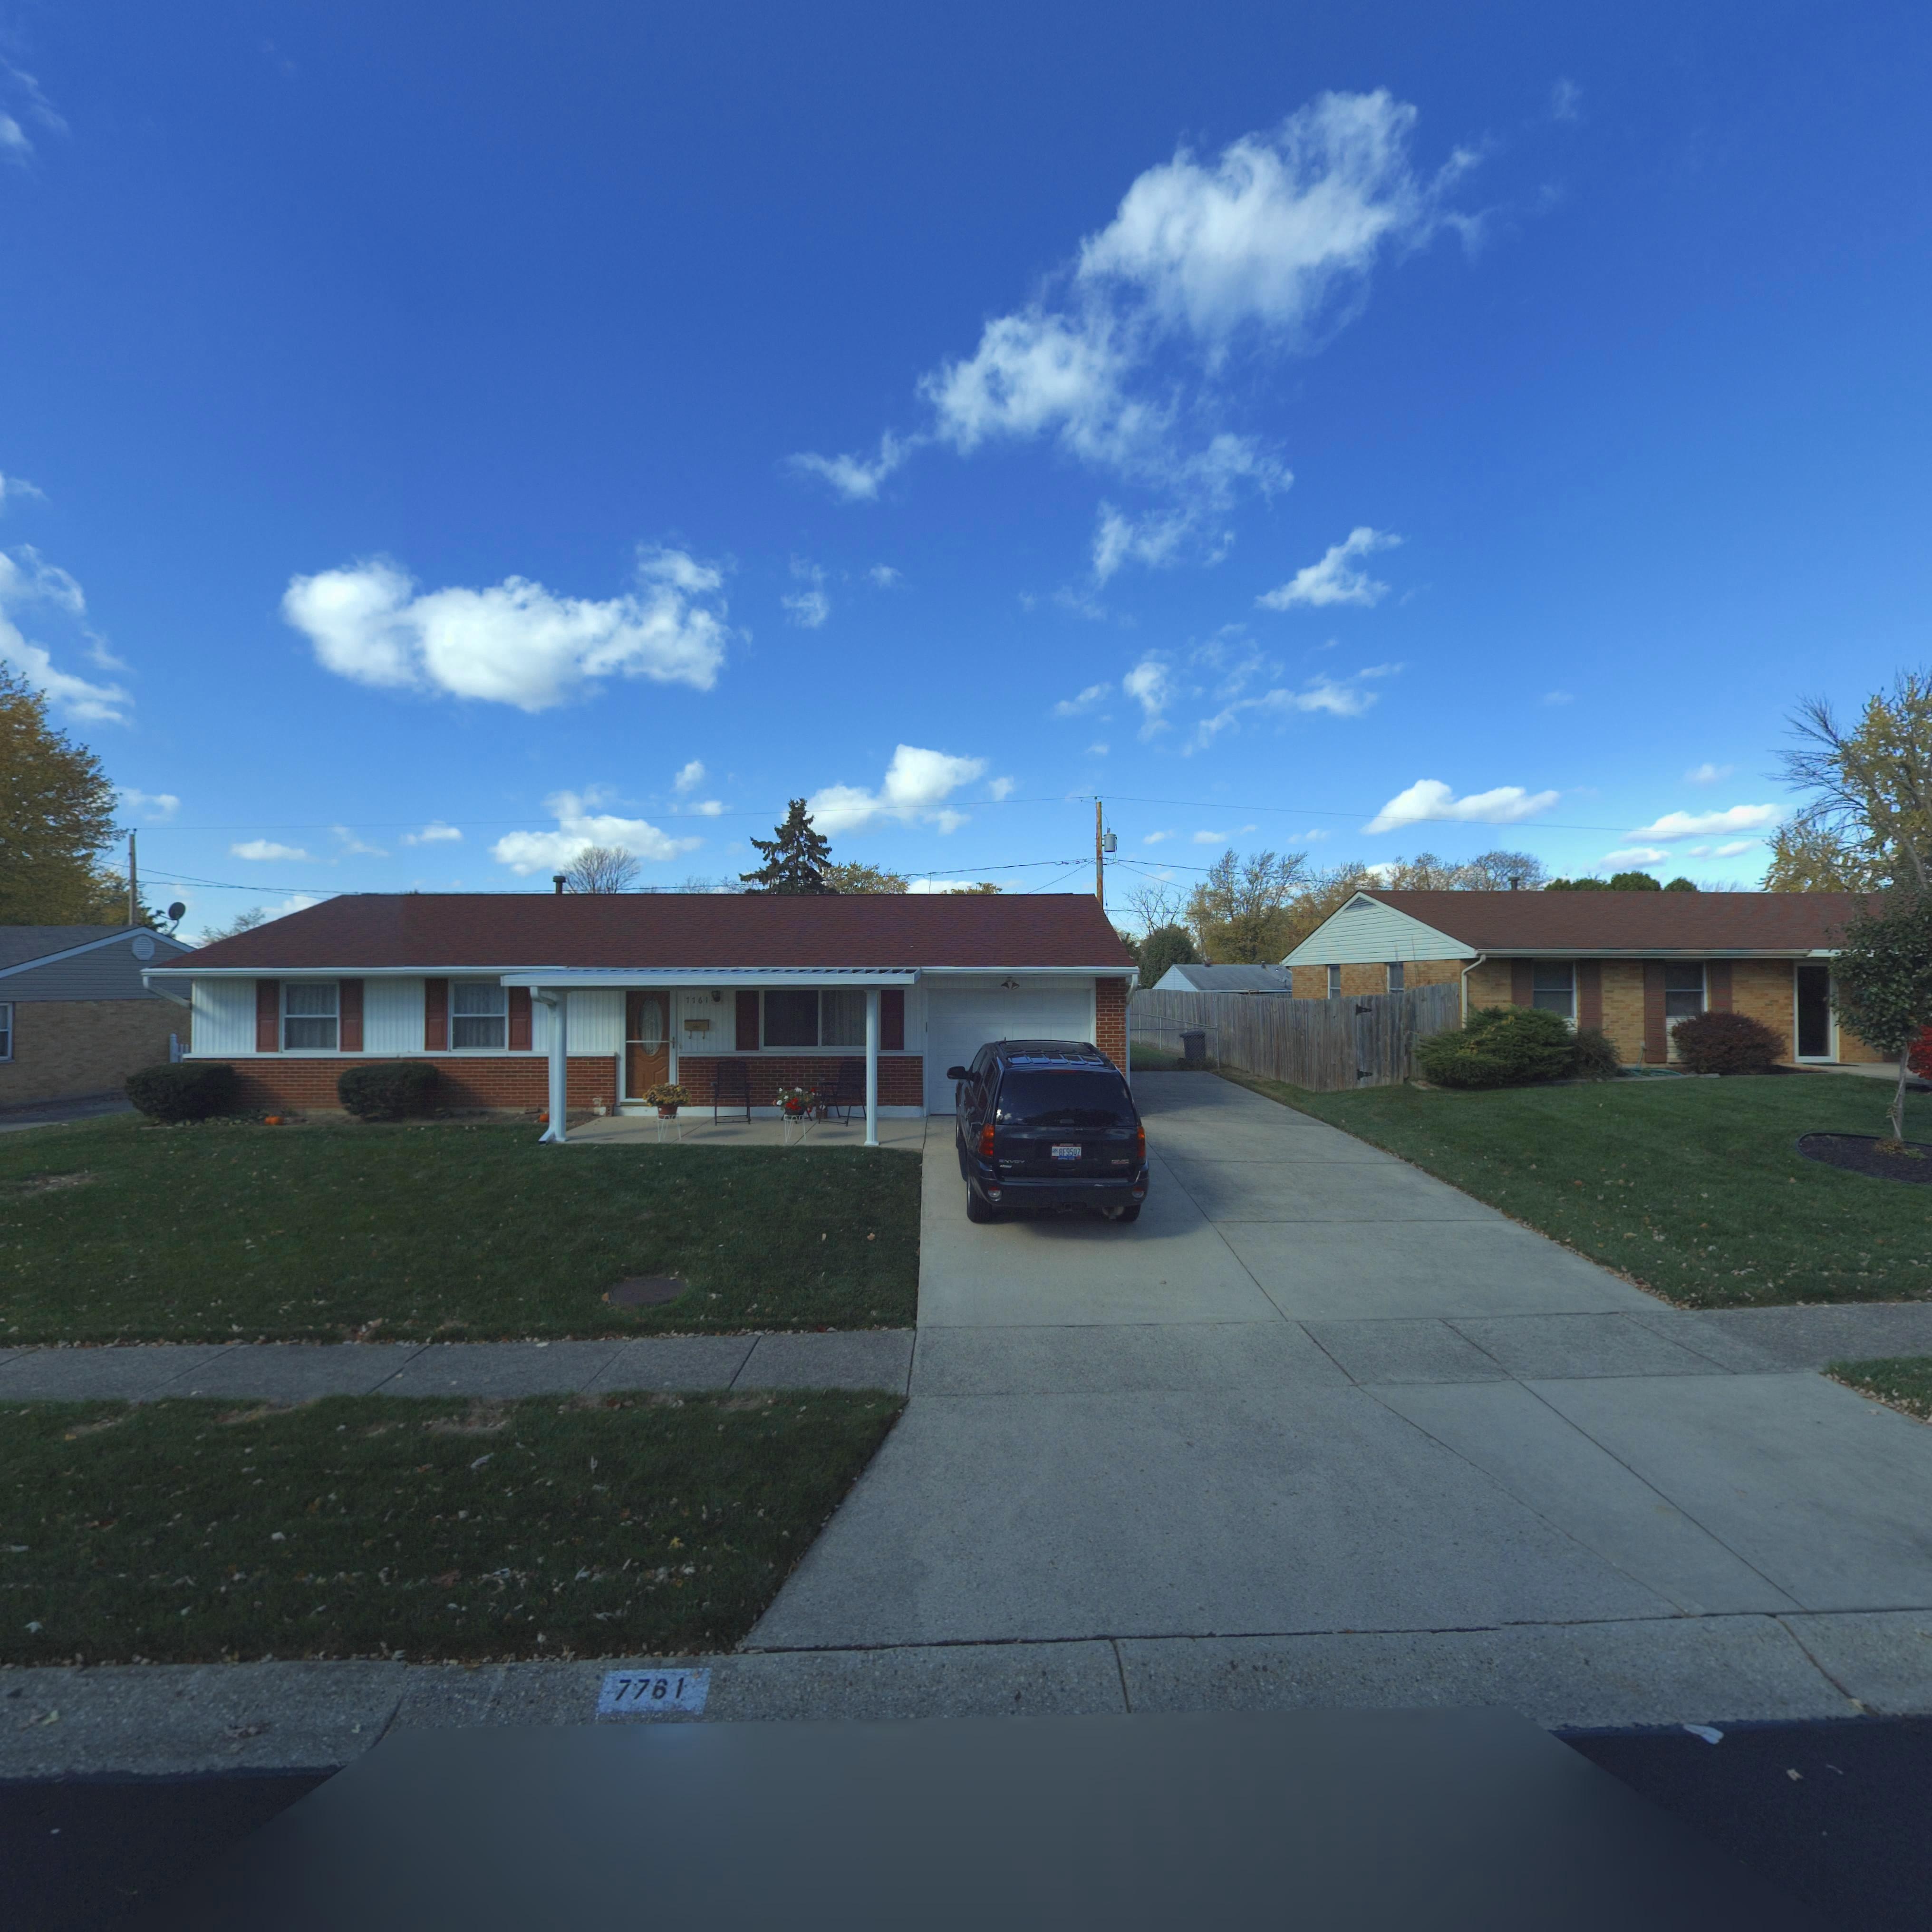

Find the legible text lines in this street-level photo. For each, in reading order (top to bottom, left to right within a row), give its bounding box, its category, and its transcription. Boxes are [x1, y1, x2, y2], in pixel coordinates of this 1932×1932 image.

[686, 996, 708, 1005] StreetNumber: 7761
[612, 1676, 688, 1702] StreetNumber: 7761